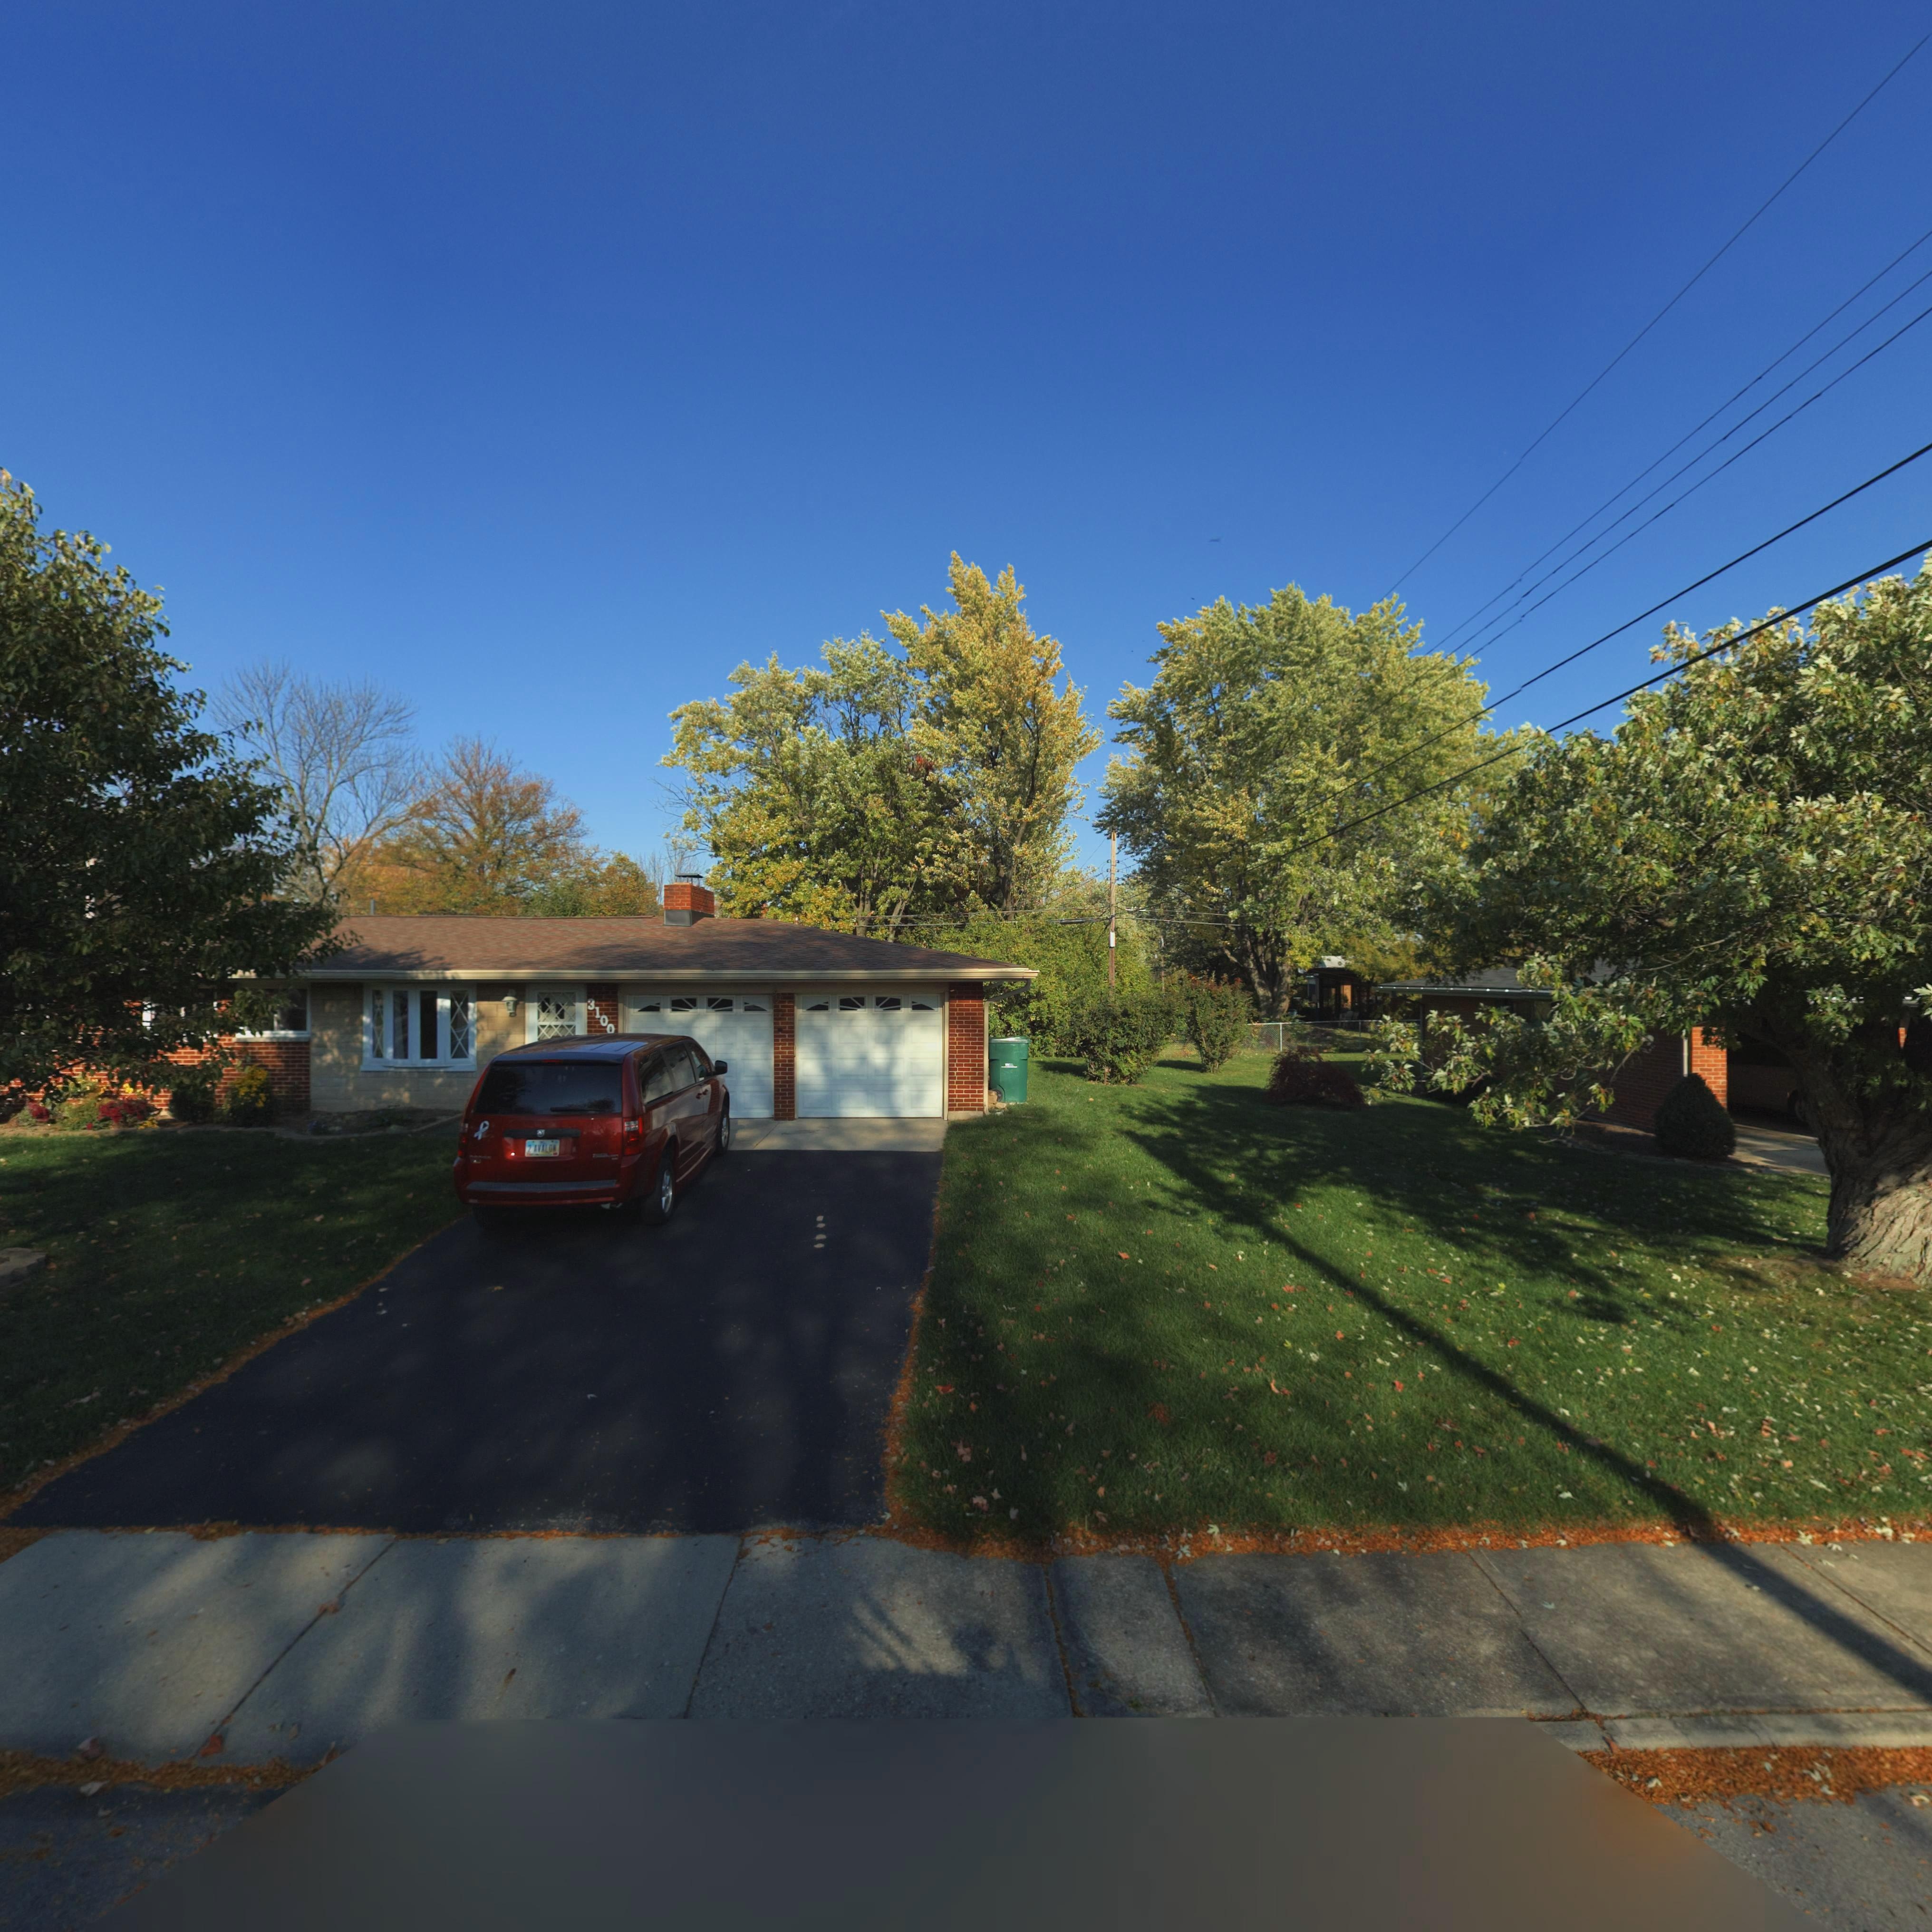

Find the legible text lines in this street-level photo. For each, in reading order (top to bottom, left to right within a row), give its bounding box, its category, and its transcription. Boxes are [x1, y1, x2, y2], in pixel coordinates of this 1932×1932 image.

[587, 997, 615, 1034] StreetNumber: 3100